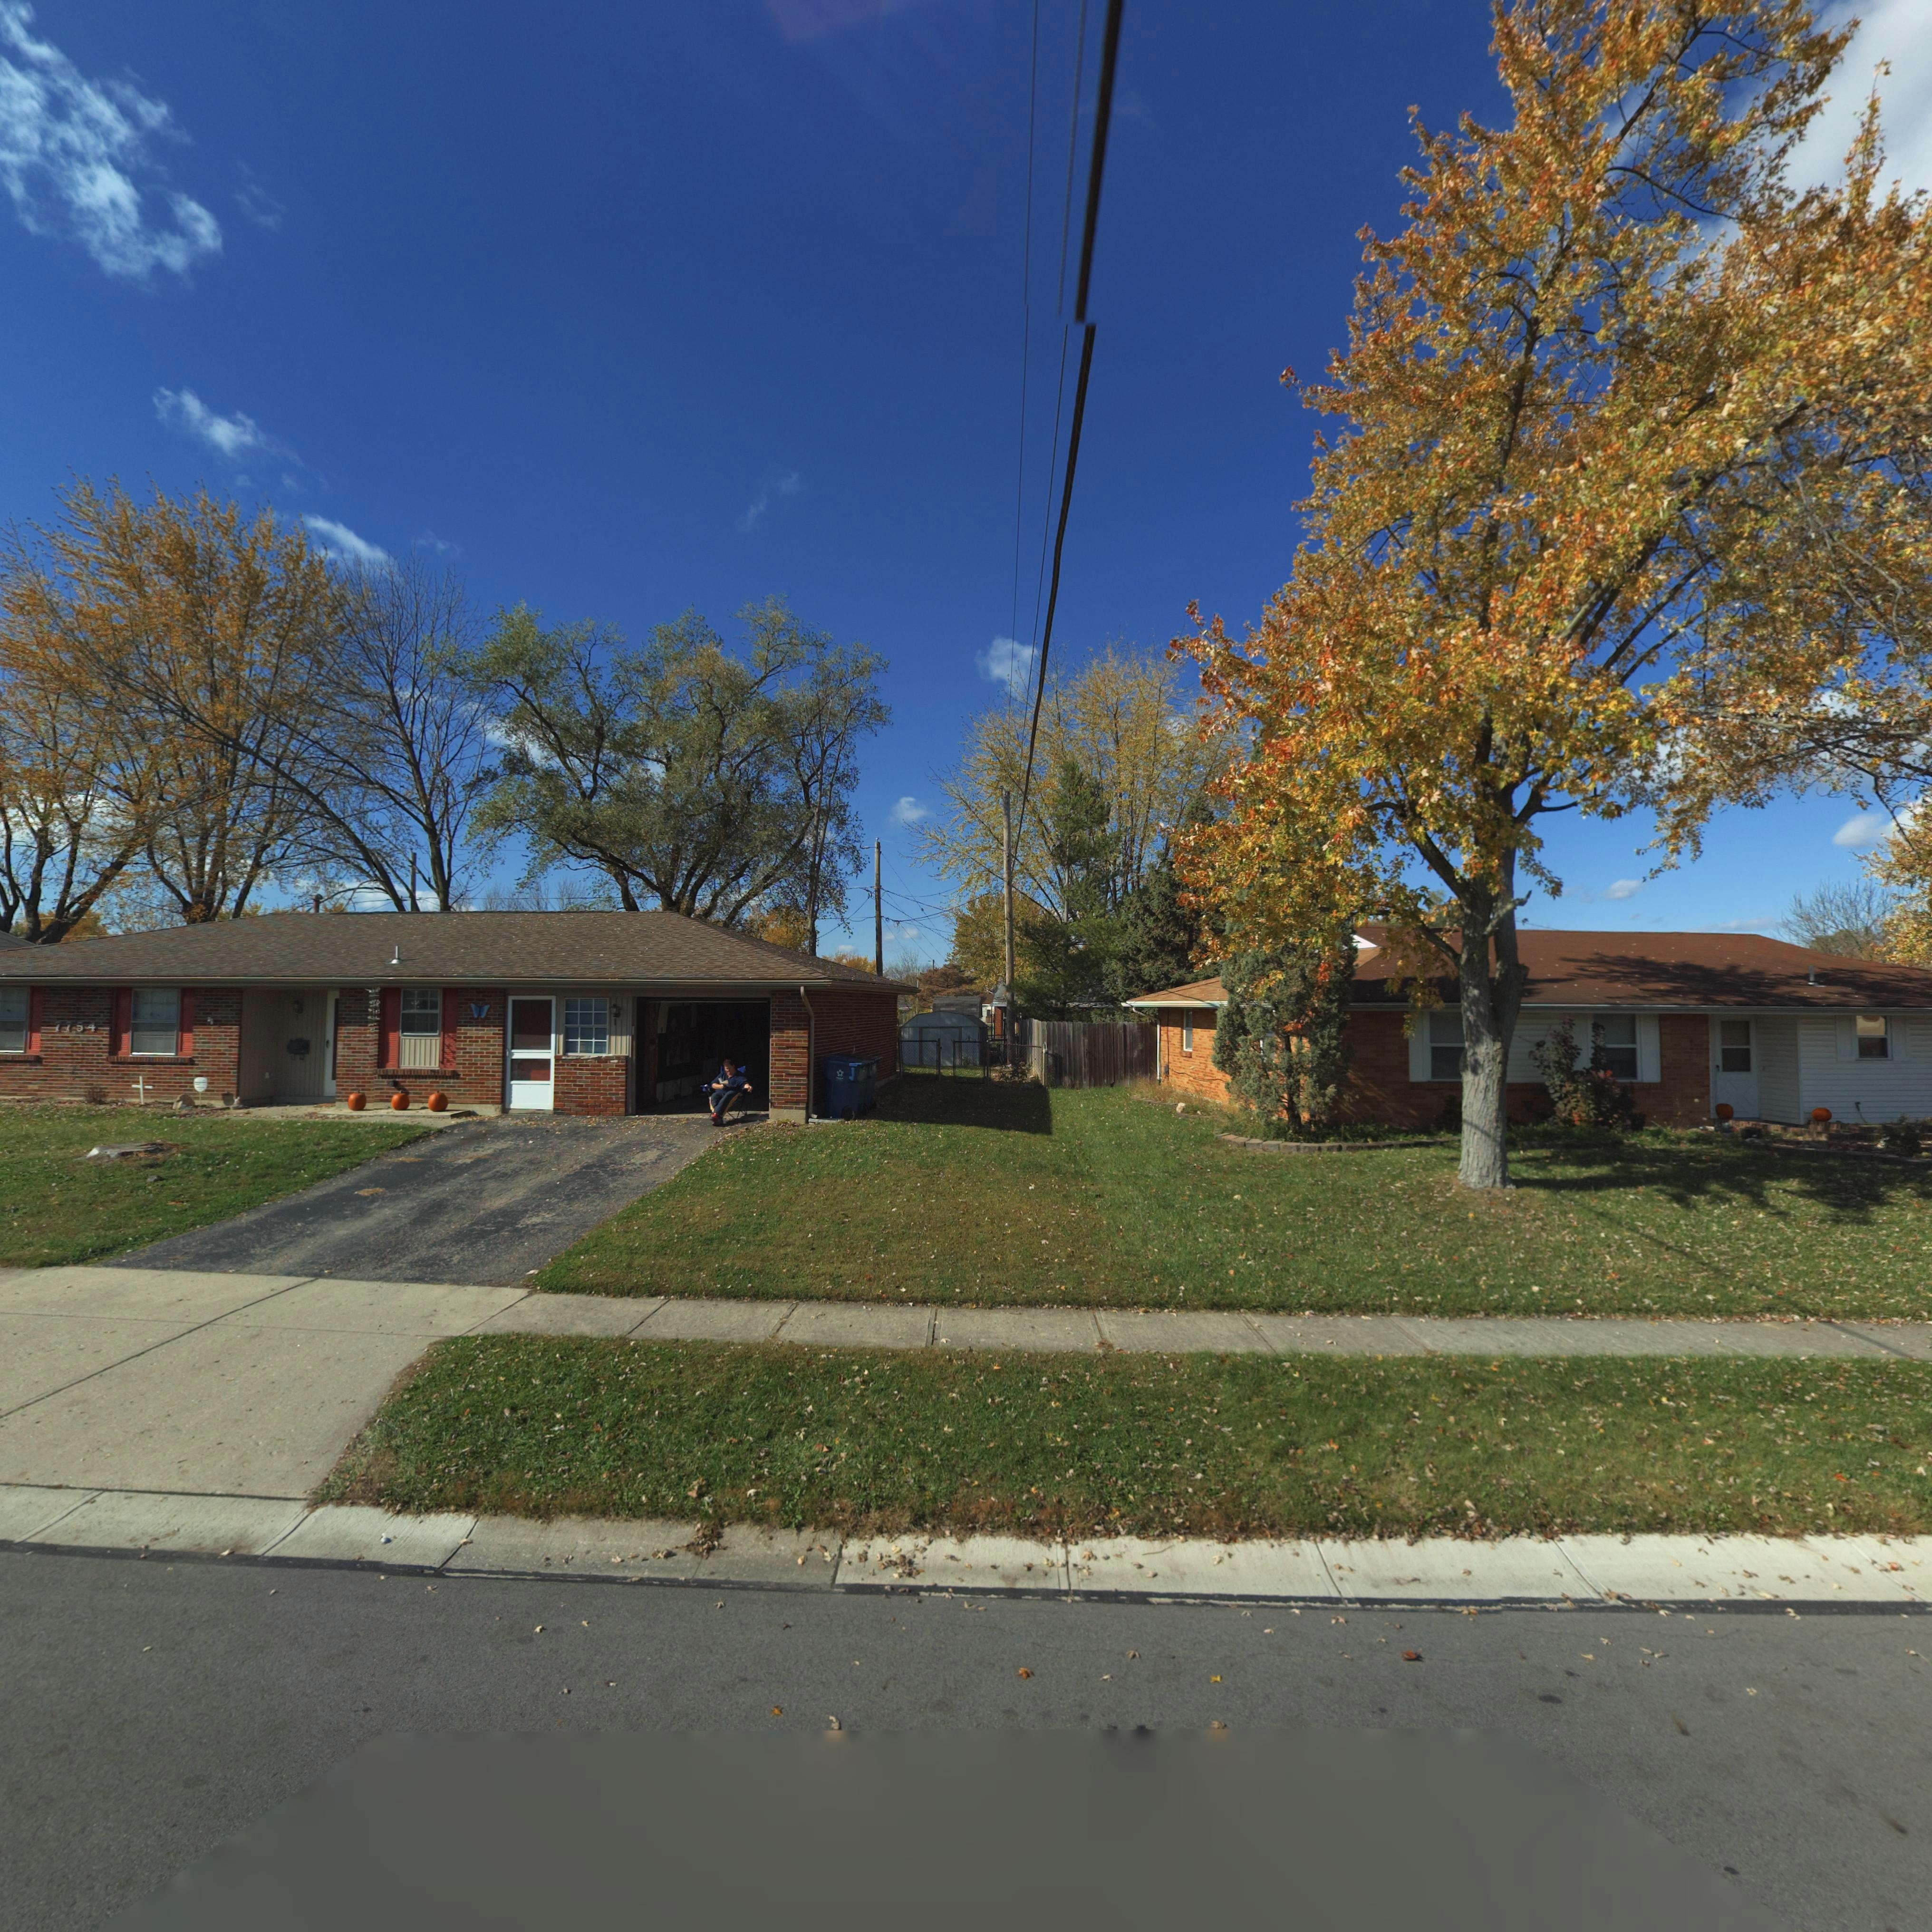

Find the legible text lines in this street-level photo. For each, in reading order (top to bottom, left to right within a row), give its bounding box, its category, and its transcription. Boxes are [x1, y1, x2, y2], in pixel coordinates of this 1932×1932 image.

[53, 1020, 97, 1034] StreetNumber: 7754